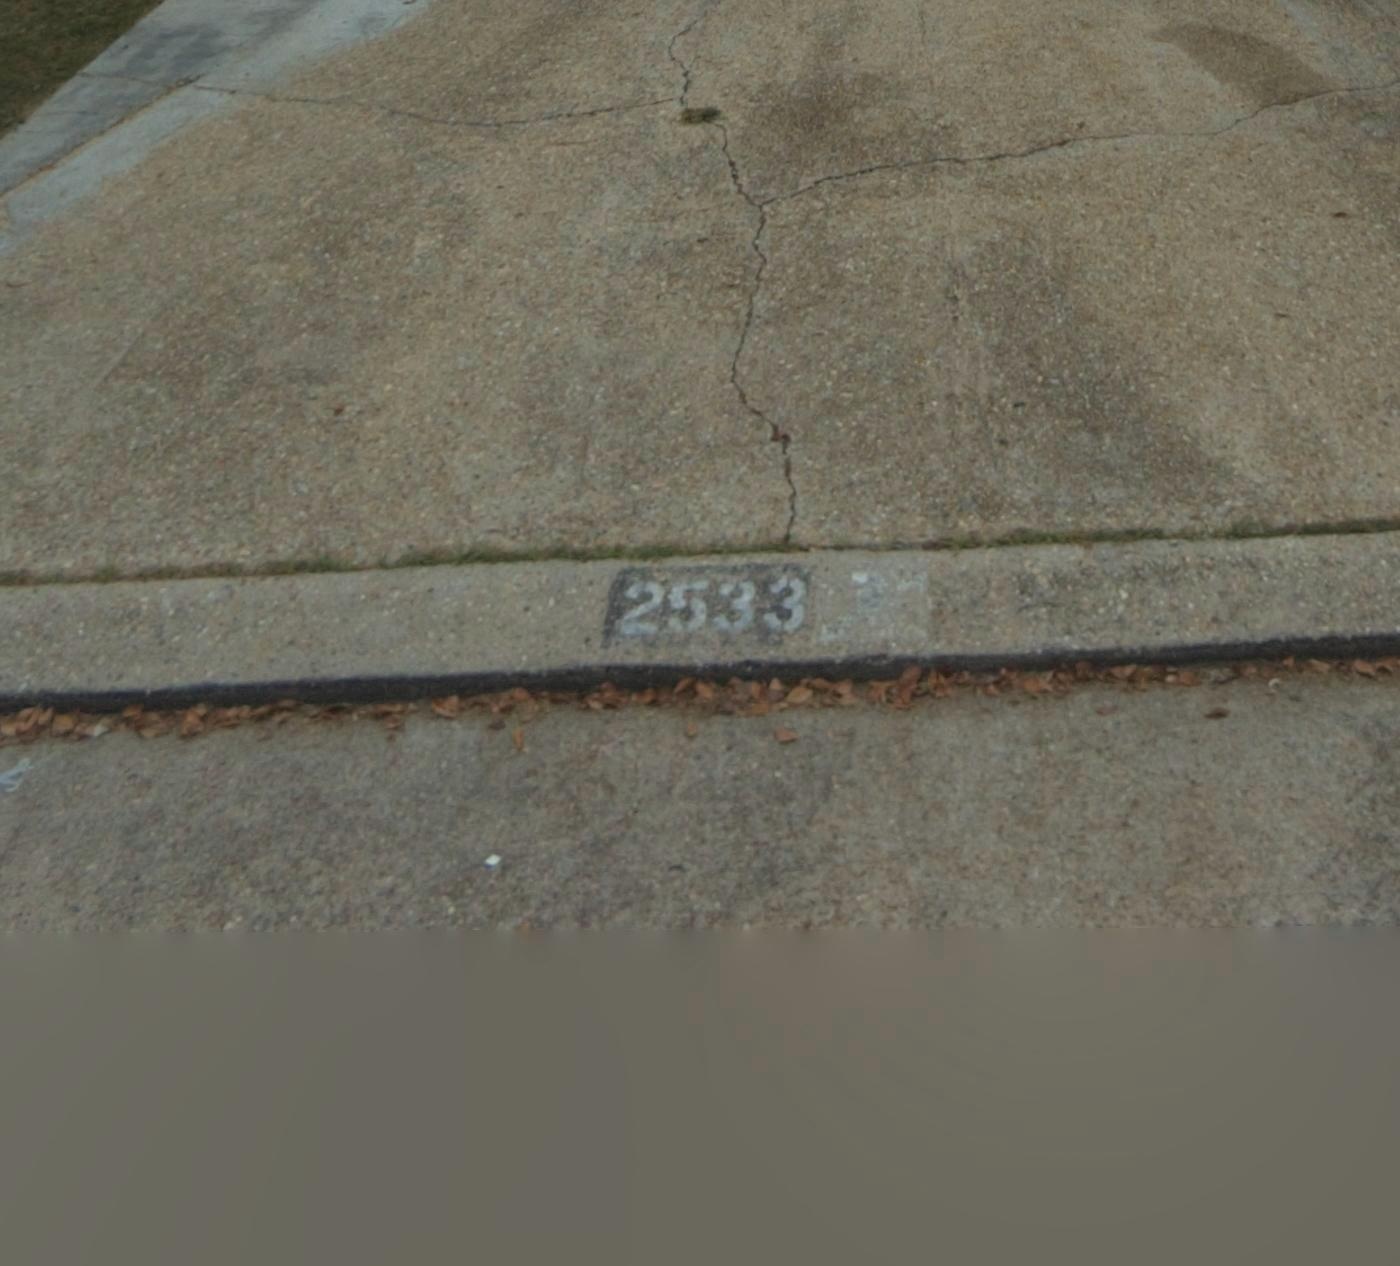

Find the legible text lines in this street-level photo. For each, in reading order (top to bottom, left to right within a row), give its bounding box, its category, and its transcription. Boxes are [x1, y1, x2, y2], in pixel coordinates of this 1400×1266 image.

[612, 575, 807, 636] StreetNumber: 2533